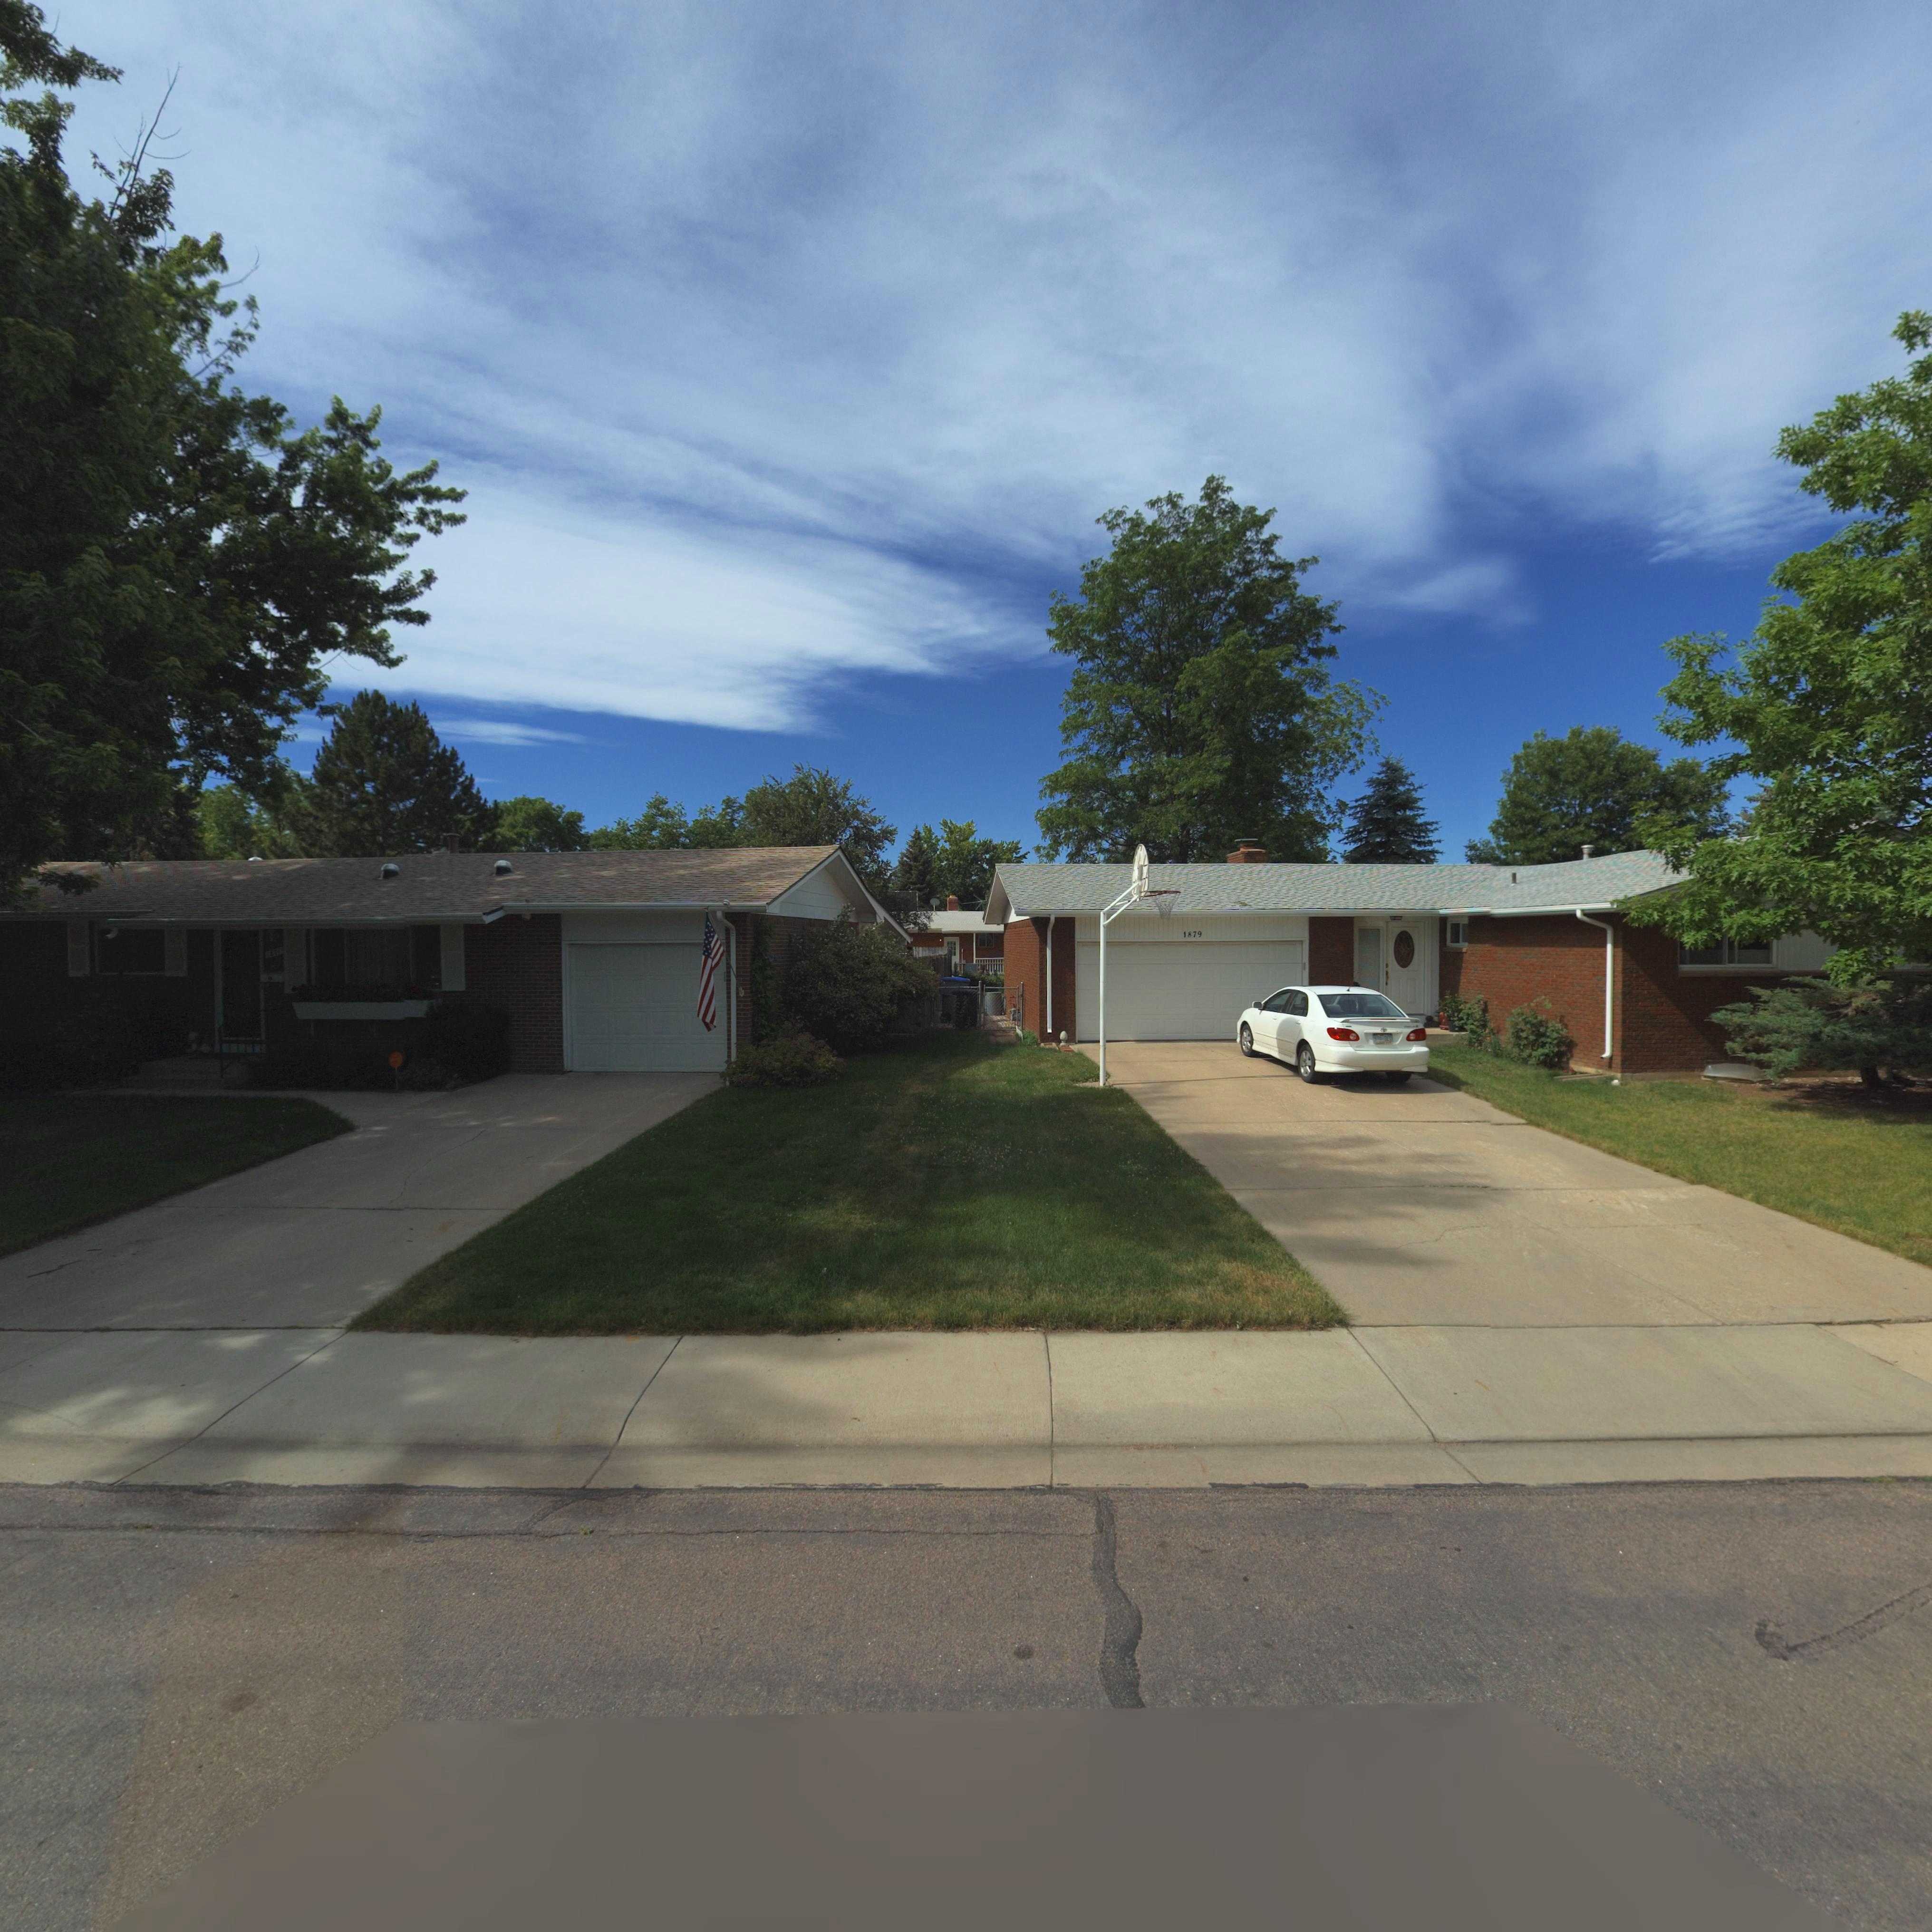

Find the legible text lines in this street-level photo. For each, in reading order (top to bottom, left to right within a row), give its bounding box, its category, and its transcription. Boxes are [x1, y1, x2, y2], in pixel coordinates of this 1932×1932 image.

[1183, 930, 1202, 937] StreetNumber: 1879
[266, 947, 280, 958] StreetNumber: 1**1